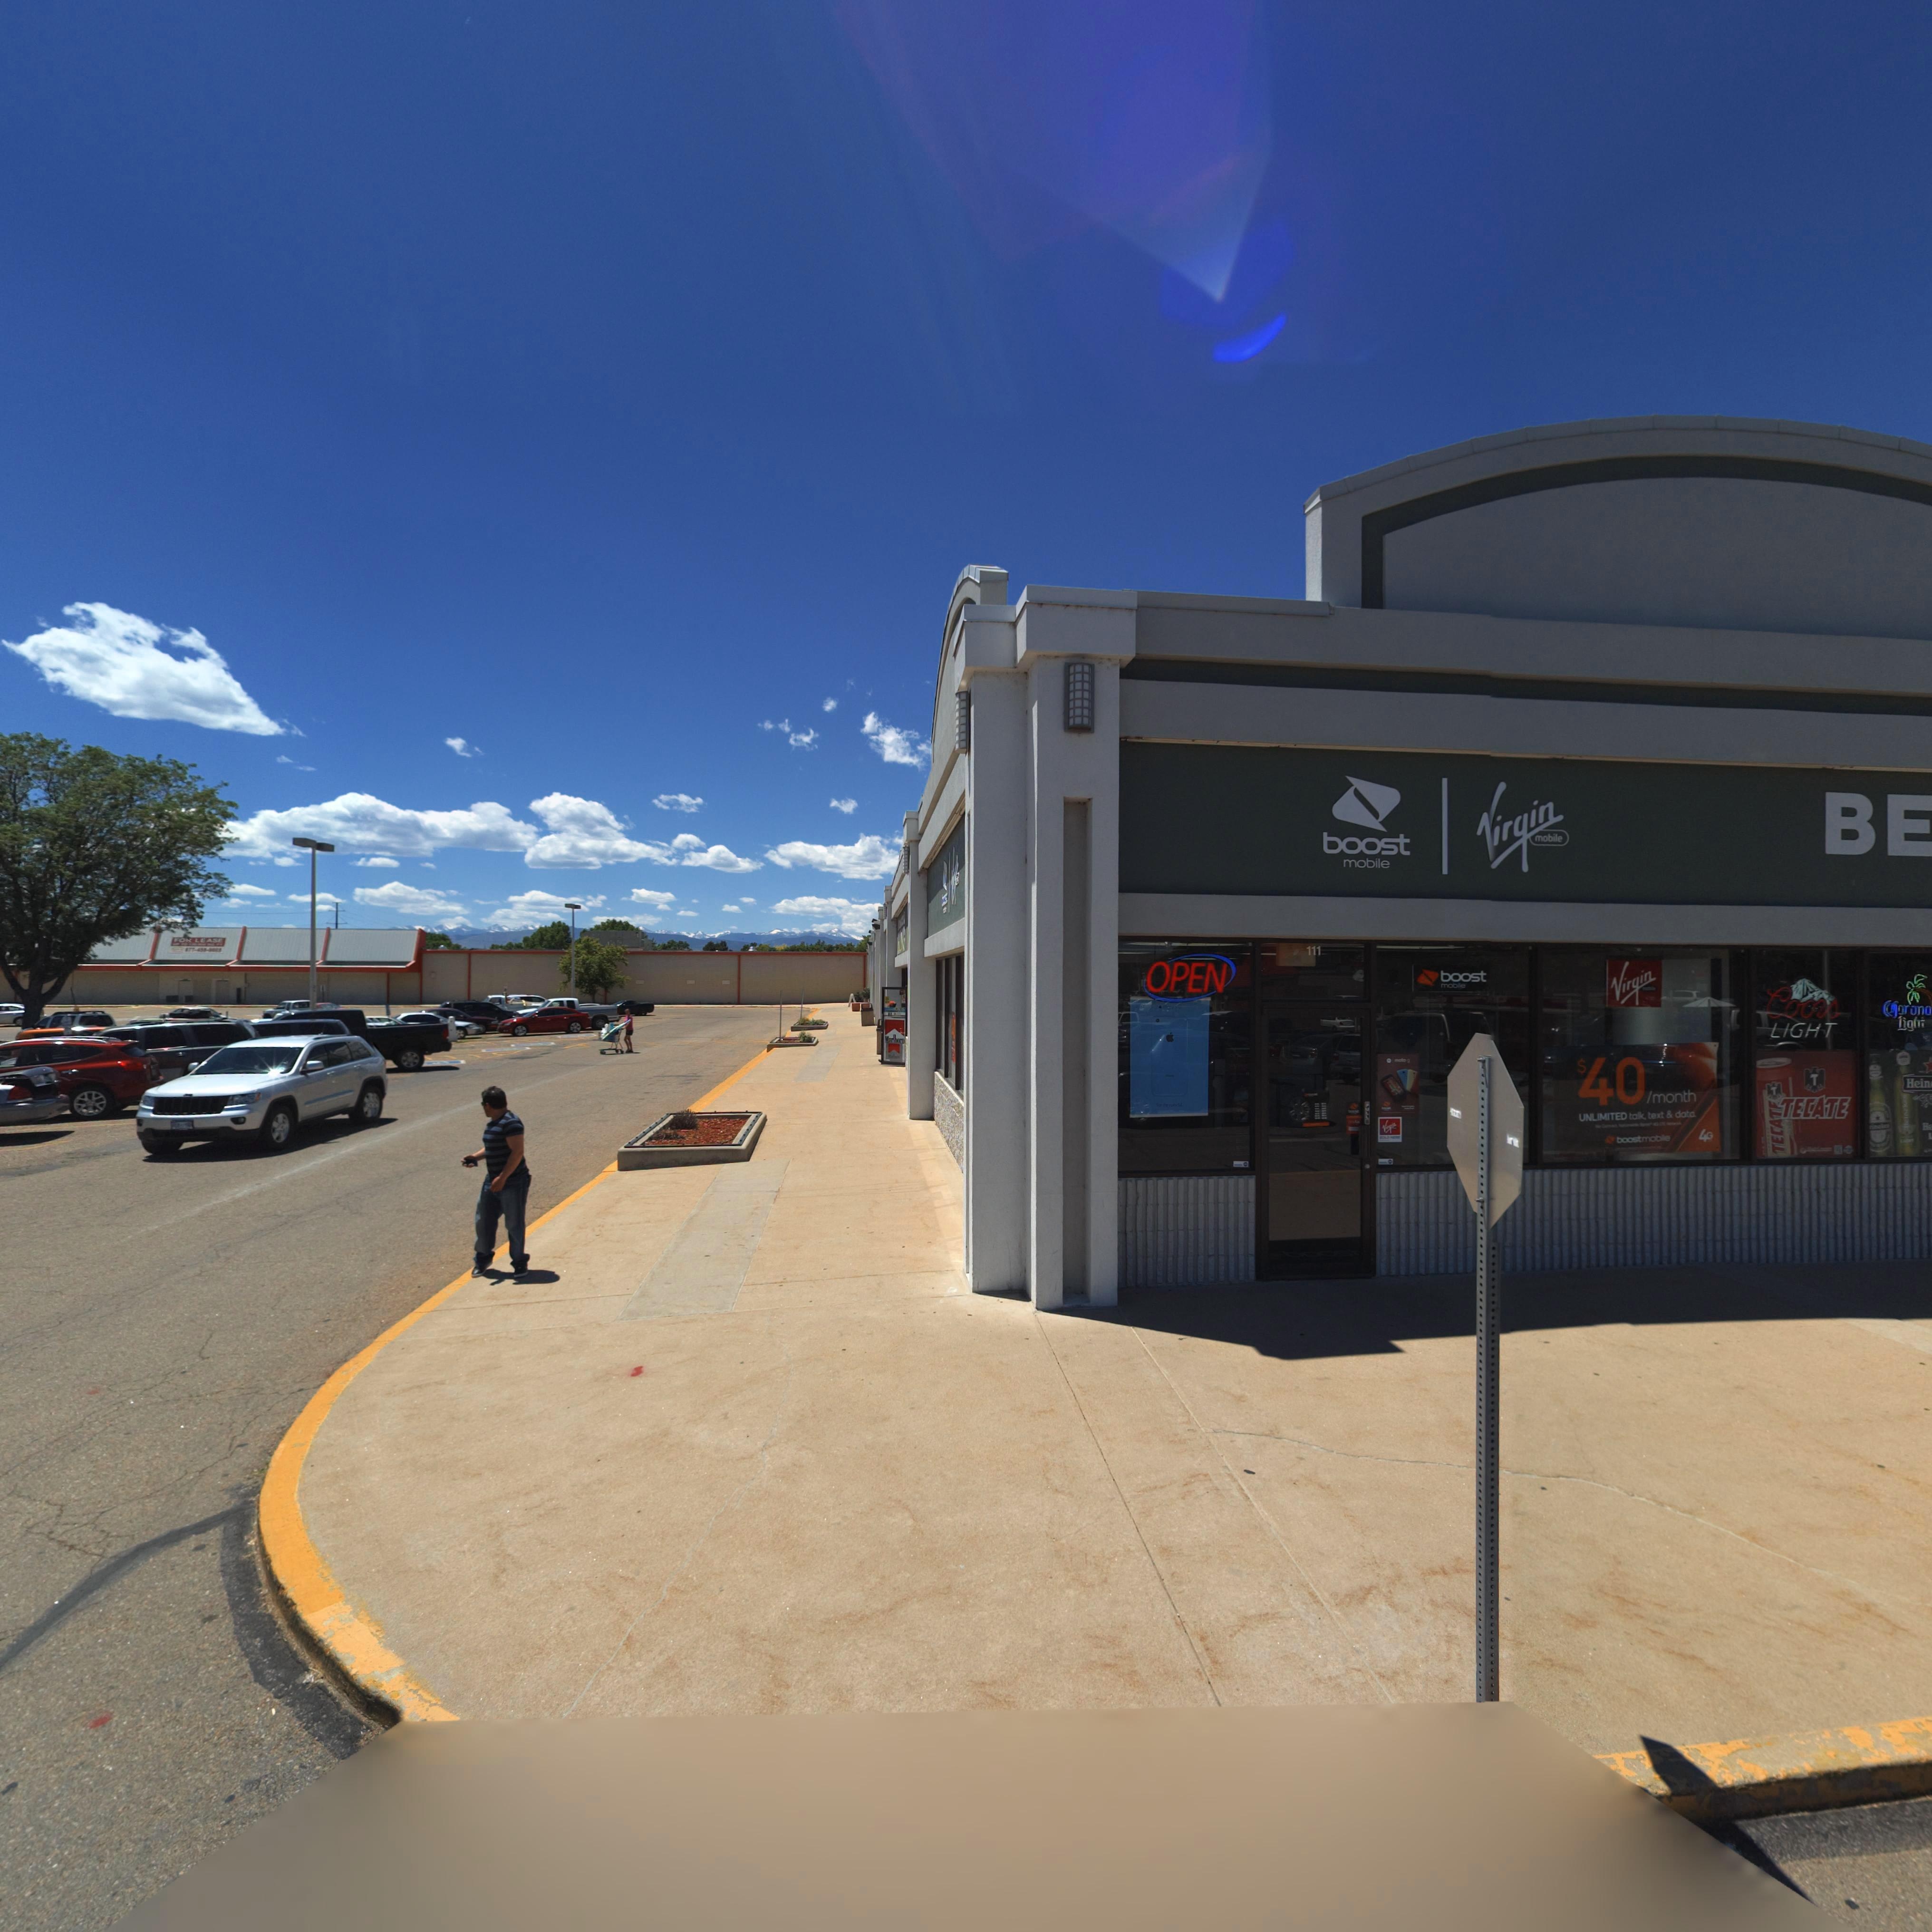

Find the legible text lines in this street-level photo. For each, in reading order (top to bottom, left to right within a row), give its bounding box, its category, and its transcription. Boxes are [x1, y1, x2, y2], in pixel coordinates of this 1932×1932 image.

[1475, 780, 1565, 873] BusinessName: Virgin
[1322, 831, 1411, 856] BusinessName: boost
[1535, 832, 1563, 842] BusinessName: mobile
[1343, 857, 1390, 869] BusinessName: mobile
[1306, 945, 1321, 956] StreetNumber: 111
[1440, 969, 1487, 983] BusinessName: boost
[1440, 982, 1466, 988] BusinessName: mobile
[1610, 960, 1656, 1005] BusinessName: Virgin
[1642, 985, 1656, 991] BusinessName: mobile
[1381, 1106, 1391, 1109] BusinessName: boost
[1381, 1120, 1396, 1133] BusinessName: Virgin
[1616, 1134, 1671, 1143] BusinessName: boost mobile